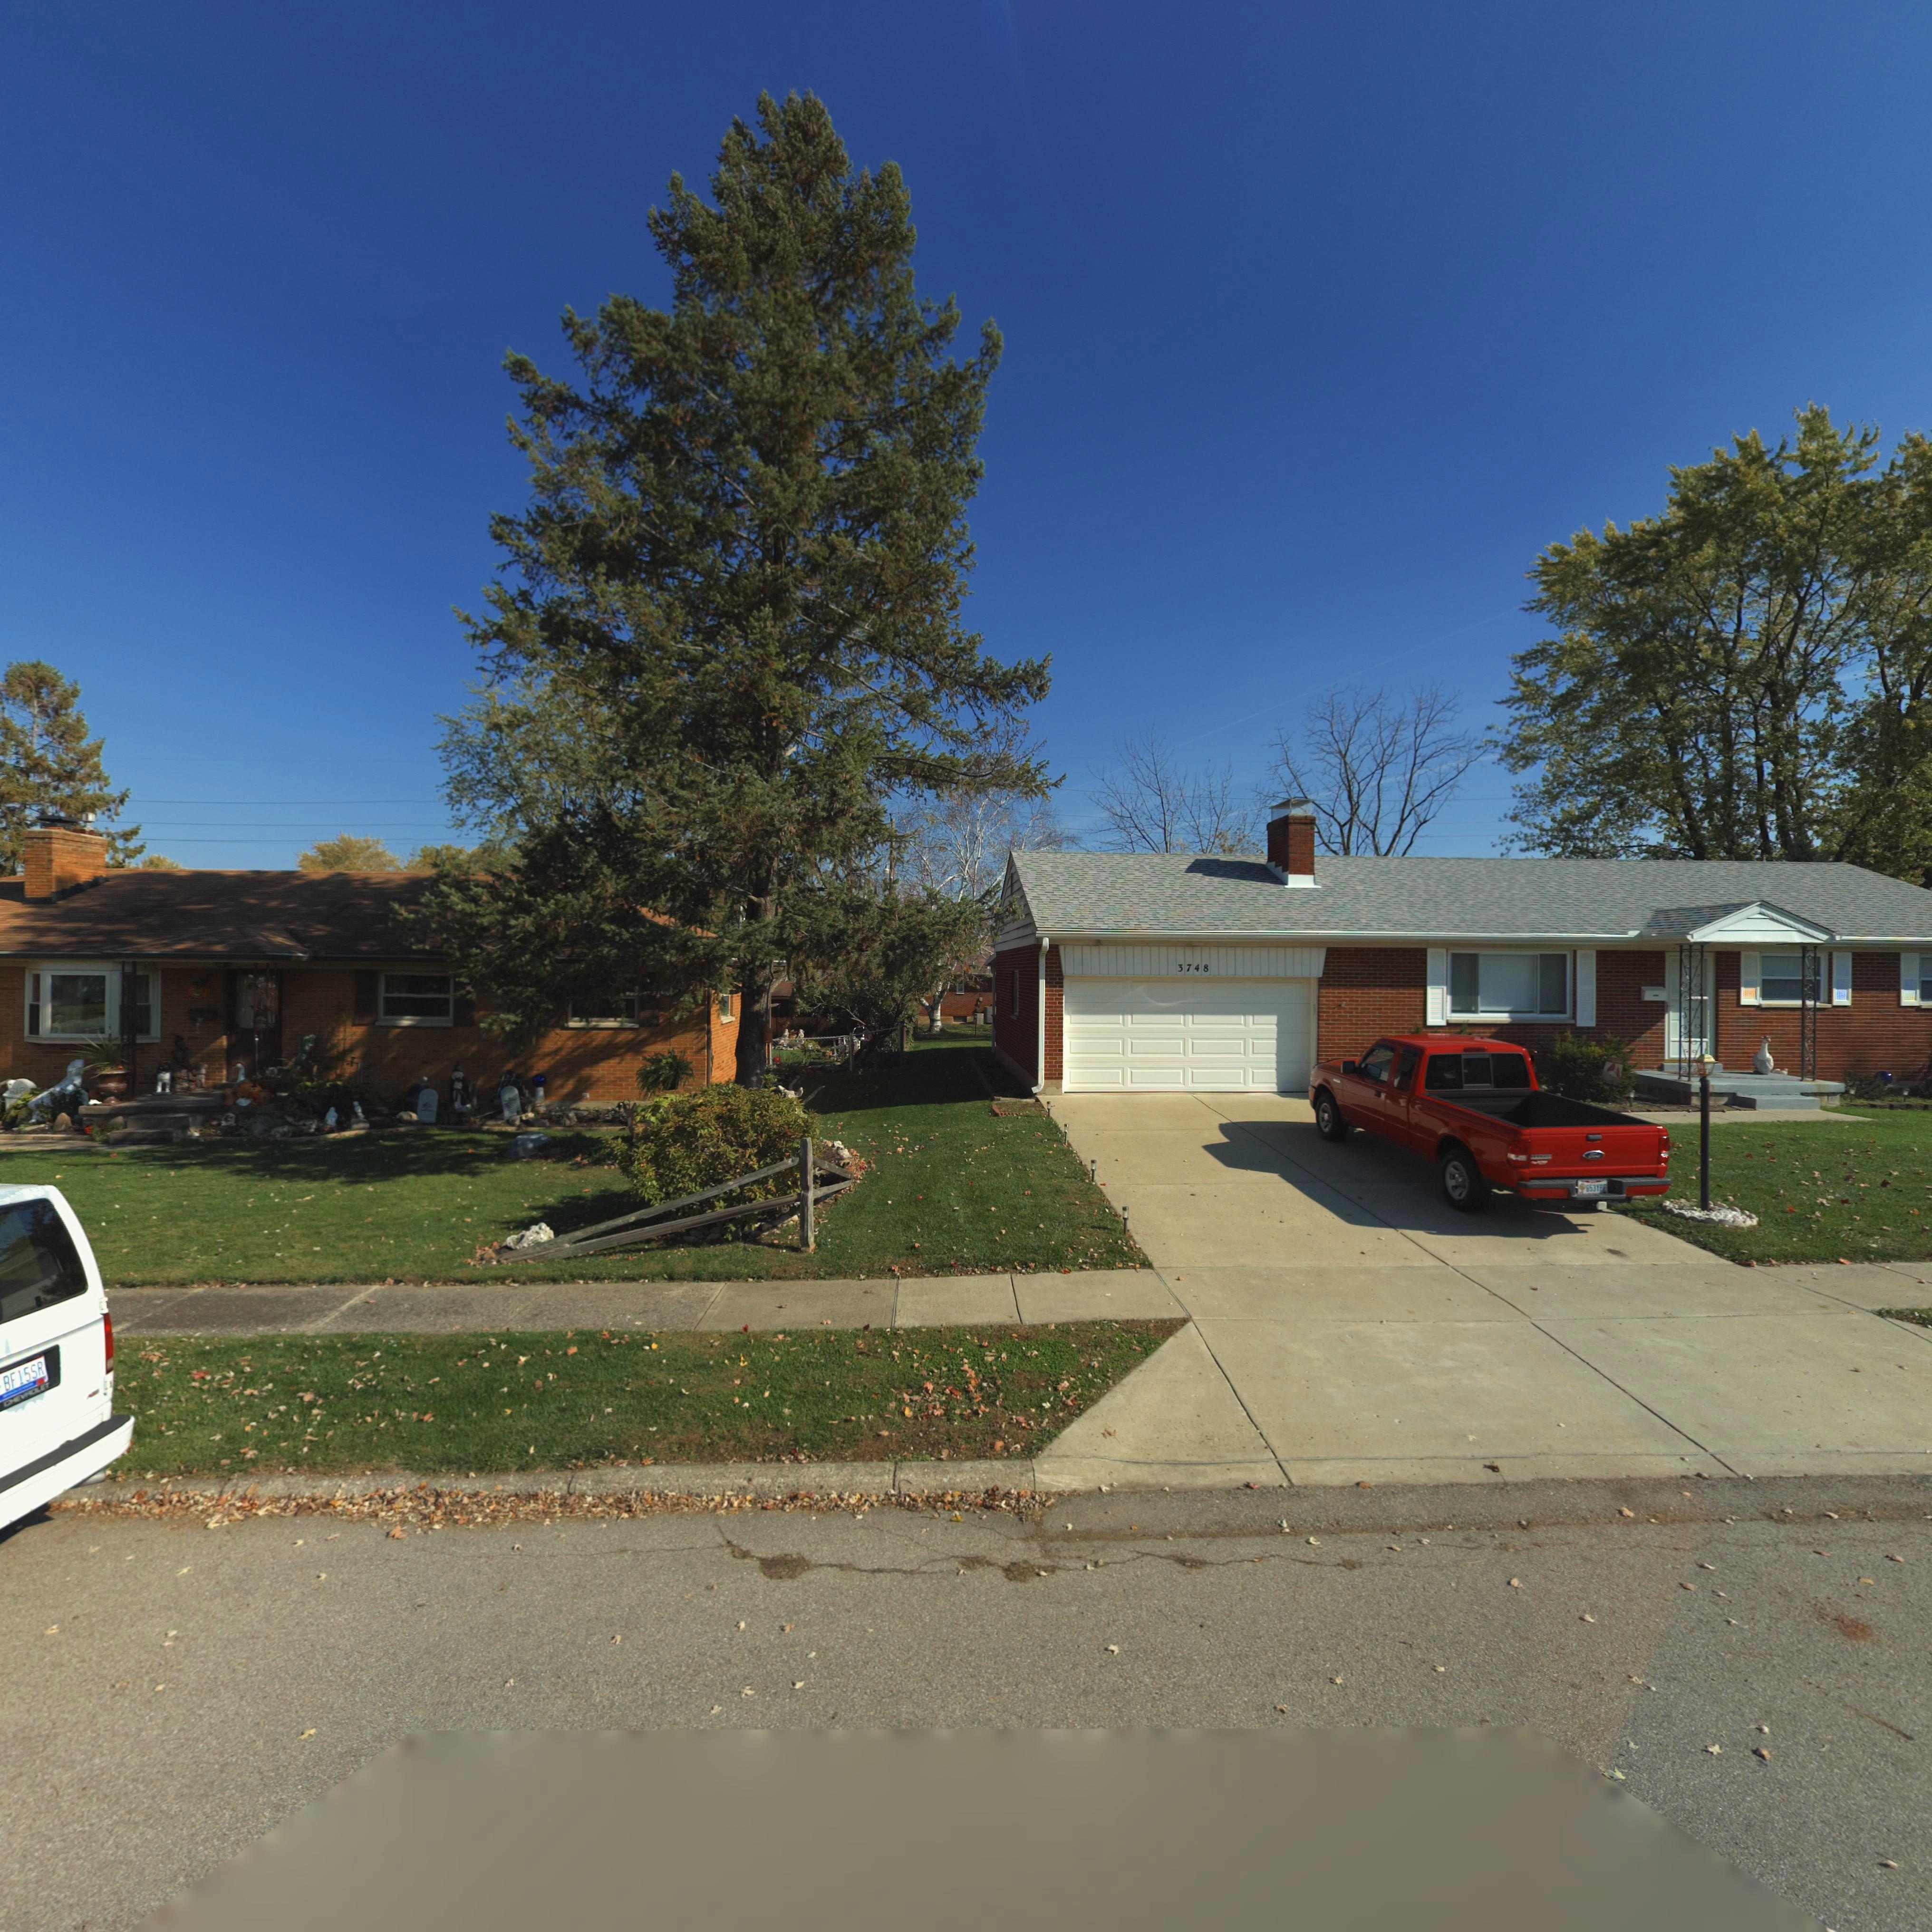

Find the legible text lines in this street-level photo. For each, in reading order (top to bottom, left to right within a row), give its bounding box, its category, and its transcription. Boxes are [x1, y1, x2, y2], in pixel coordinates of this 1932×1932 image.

[1177, 963, 1210, 974] StreetNumber: 3748